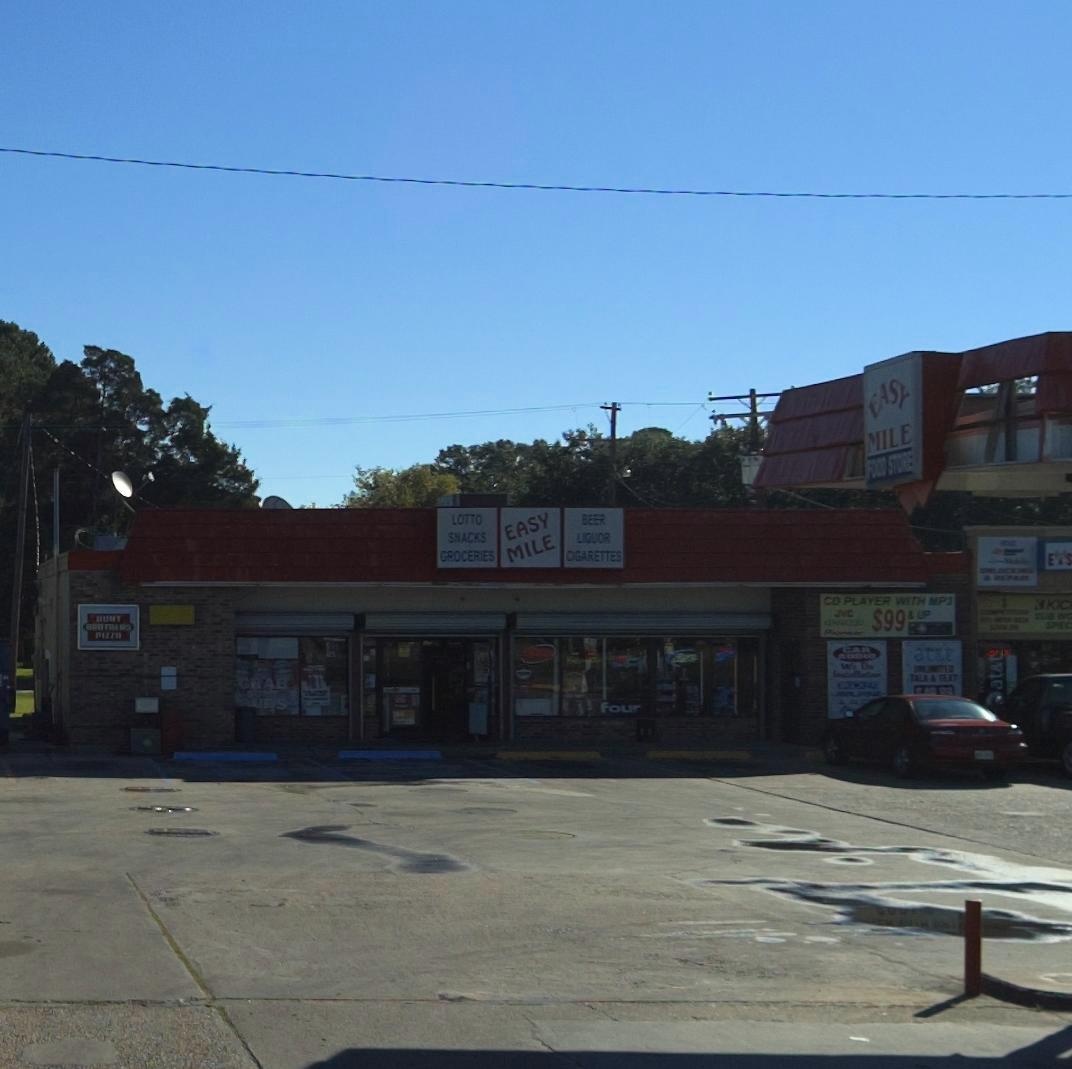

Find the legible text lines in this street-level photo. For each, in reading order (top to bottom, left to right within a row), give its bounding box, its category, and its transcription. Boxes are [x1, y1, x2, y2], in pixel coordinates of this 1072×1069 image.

[865, 377, 913, 420] BusinessName: EASY
[866, 421, 912, 455] BusinessName: MILE
[865, 450, 913, 482] None: FOOD STORE
[451, 512, 483, 526] None: LOTTO
[581, 512, 607, 526] None: BEER
[502, 510, 550, 543] BusinessName: EASY
[446, 530, 487, 545] None: SNACKS
[575, 531, 612, 544] None: LIQUOR
[503, 532, 557, 565] BusinessName: MILE
[439, 549, 497, 563] None: GROCERIES
[565, 550, 623, 564] None: CIGARETTES
[1047, 549, 1072, 568] None: E*S
[823, 594, 955, 608] None: CD PLAYER WITH MP3
[1045, 596, 1059, 610] None: K
[95, 614, 122, 623] None: HUNT
[85, 623, 133, 631] None: BROTHERS
[833, 609, 855, 618] None: JVC
[882, 608, 931, 633] None: 99 & UP
[1034, 611, 1067, 622] None: SUB W
[1044, 621, 1066, 631] None: SPE
[94, 631, 122, 640] None: PIZZA
[841, 645, 871, 655] None: CAR
[838, 652, 878, 660] None: AUDIO
[912, 644, 957, 663] None: at&t
[986, 648, 1006, 689] None: at&t
[237, 676, 290, 690] None: GRAB
[908, 672, 961, 683] None: TALK & TEXT
[599, 700, 642, 714] None: four